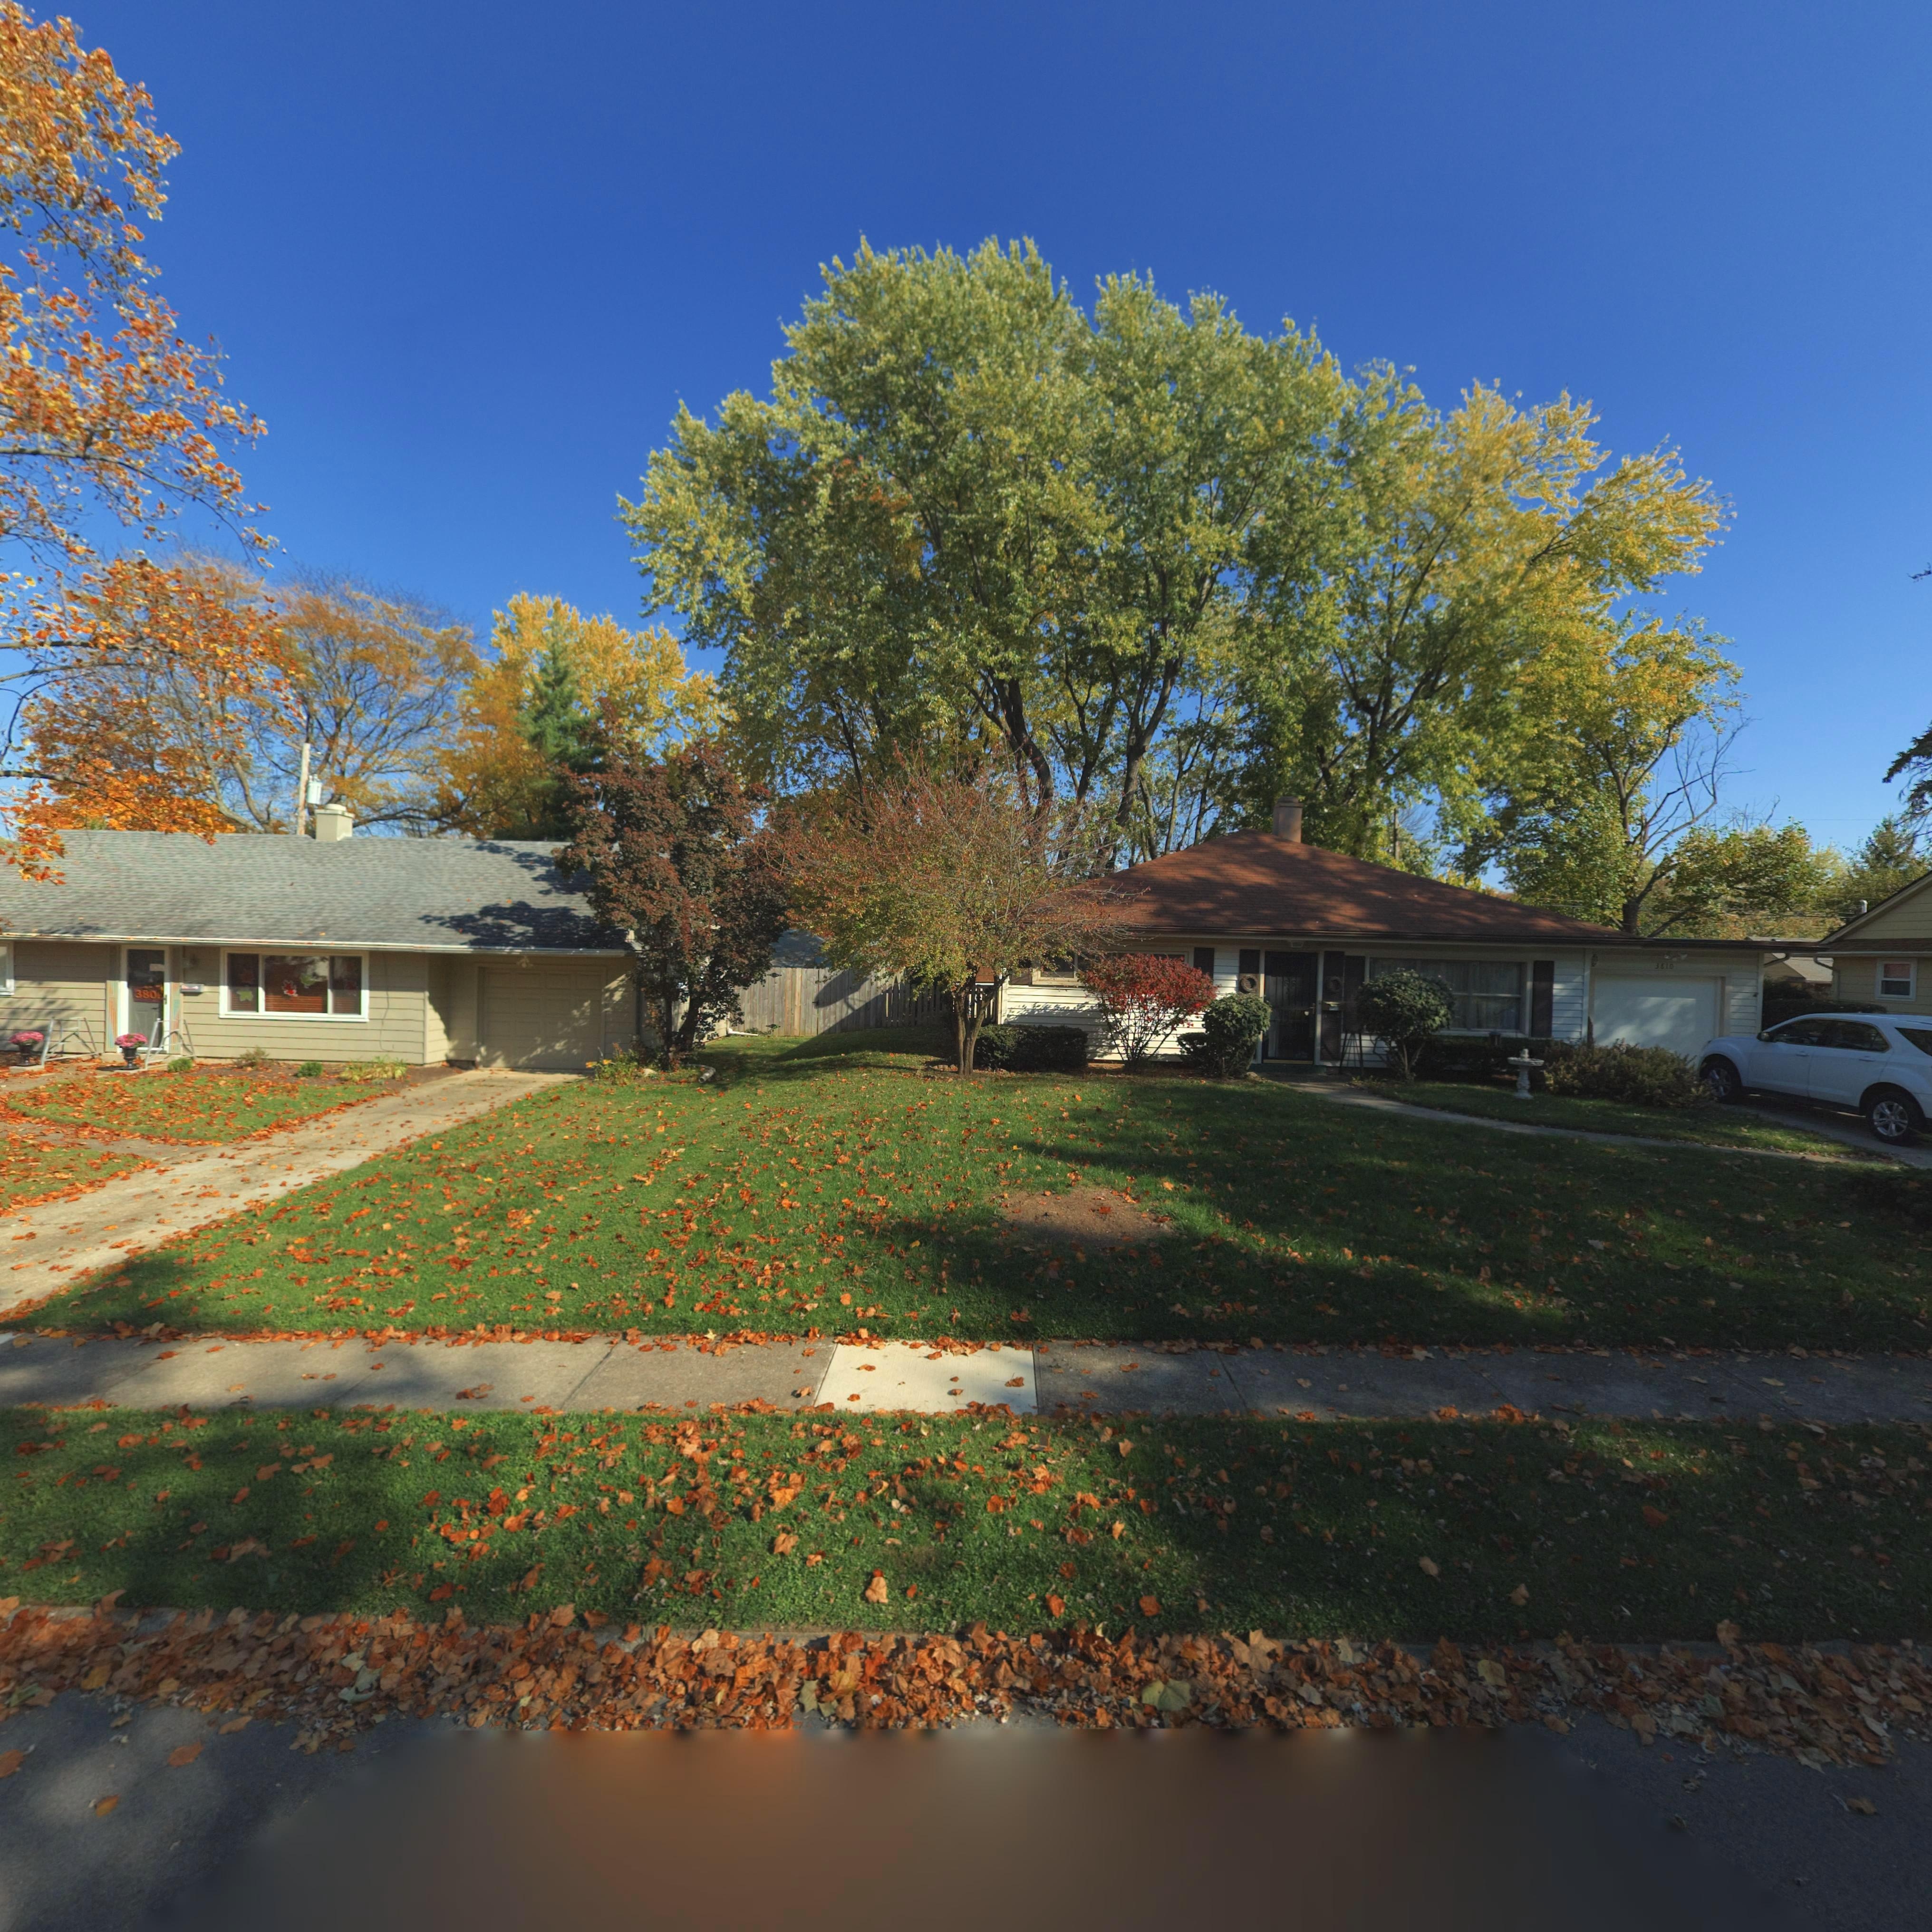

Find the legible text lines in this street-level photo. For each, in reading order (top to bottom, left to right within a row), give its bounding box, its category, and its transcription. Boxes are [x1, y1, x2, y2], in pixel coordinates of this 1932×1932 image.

[1654, 962, 1674, 969] StreetNumber: 3810
[134, 989, 163, 999] StreetNumber: 3806